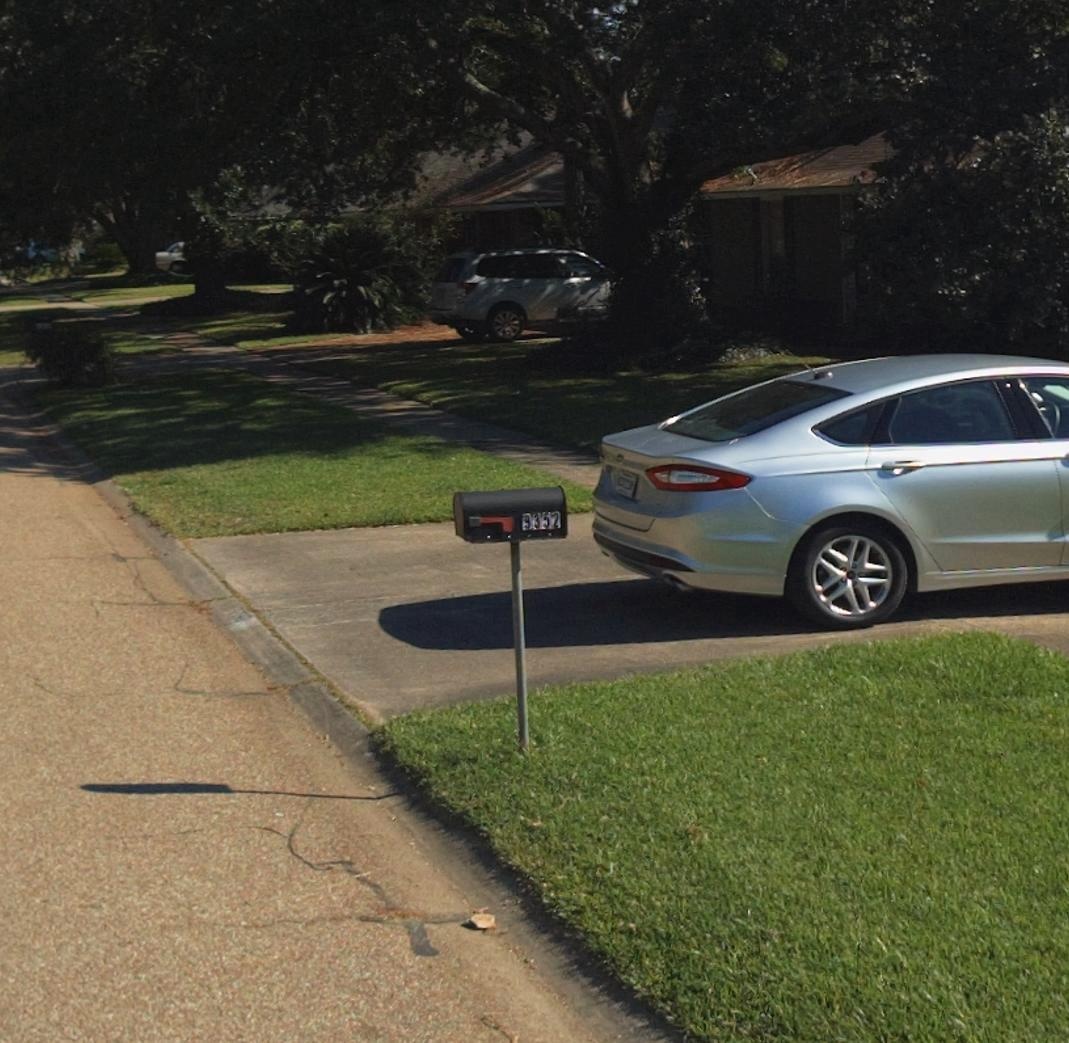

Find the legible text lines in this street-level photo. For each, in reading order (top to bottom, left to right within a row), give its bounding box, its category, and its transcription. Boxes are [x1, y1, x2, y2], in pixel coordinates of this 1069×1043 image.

[523, 512, 560, 529] StreetNumber: 9352